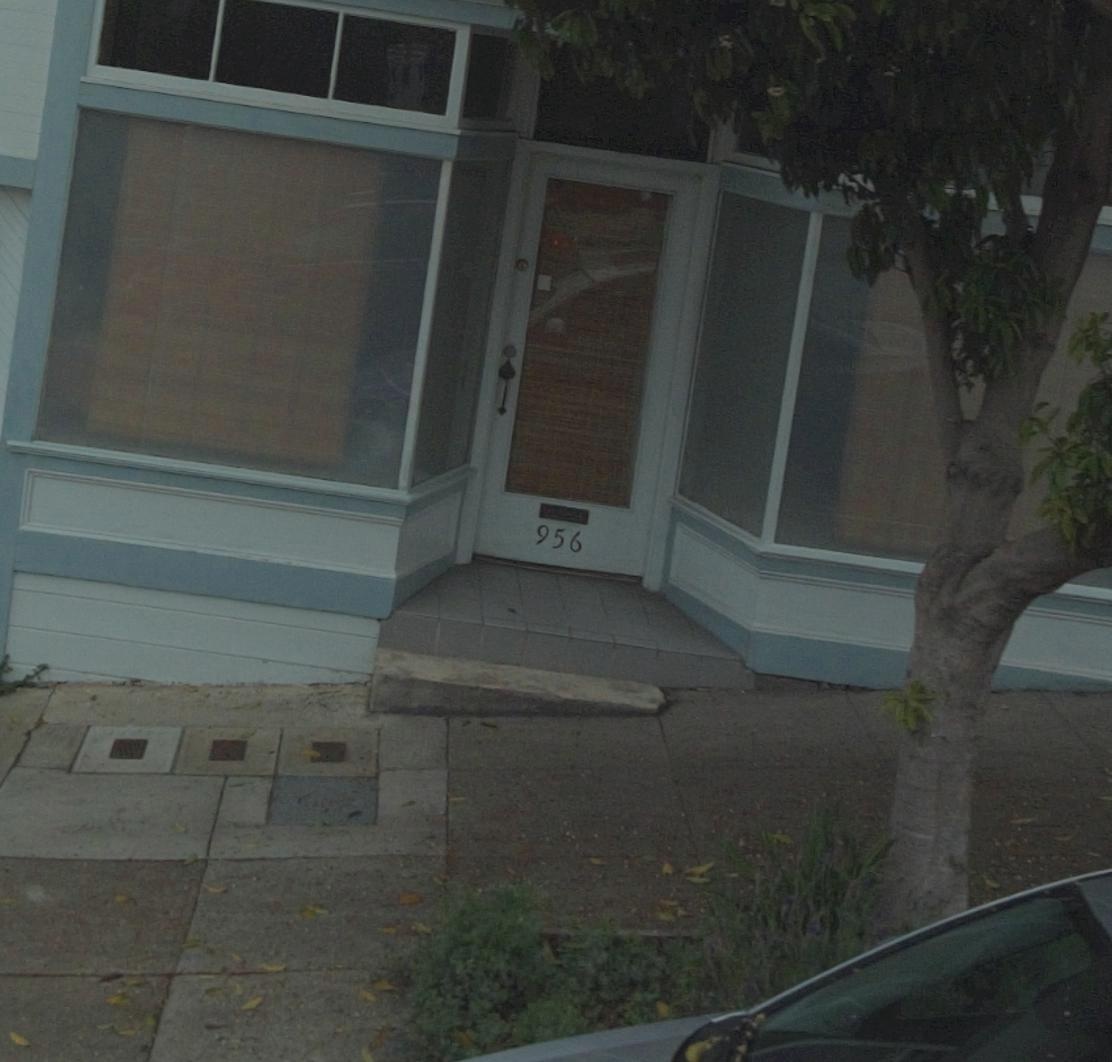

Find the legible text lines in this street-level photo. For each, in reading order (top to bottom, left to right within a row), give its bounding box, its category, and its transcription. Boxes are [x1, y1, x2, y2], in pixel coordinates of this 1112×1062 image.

[534, 522, 583, 554] StreetNumber: 956